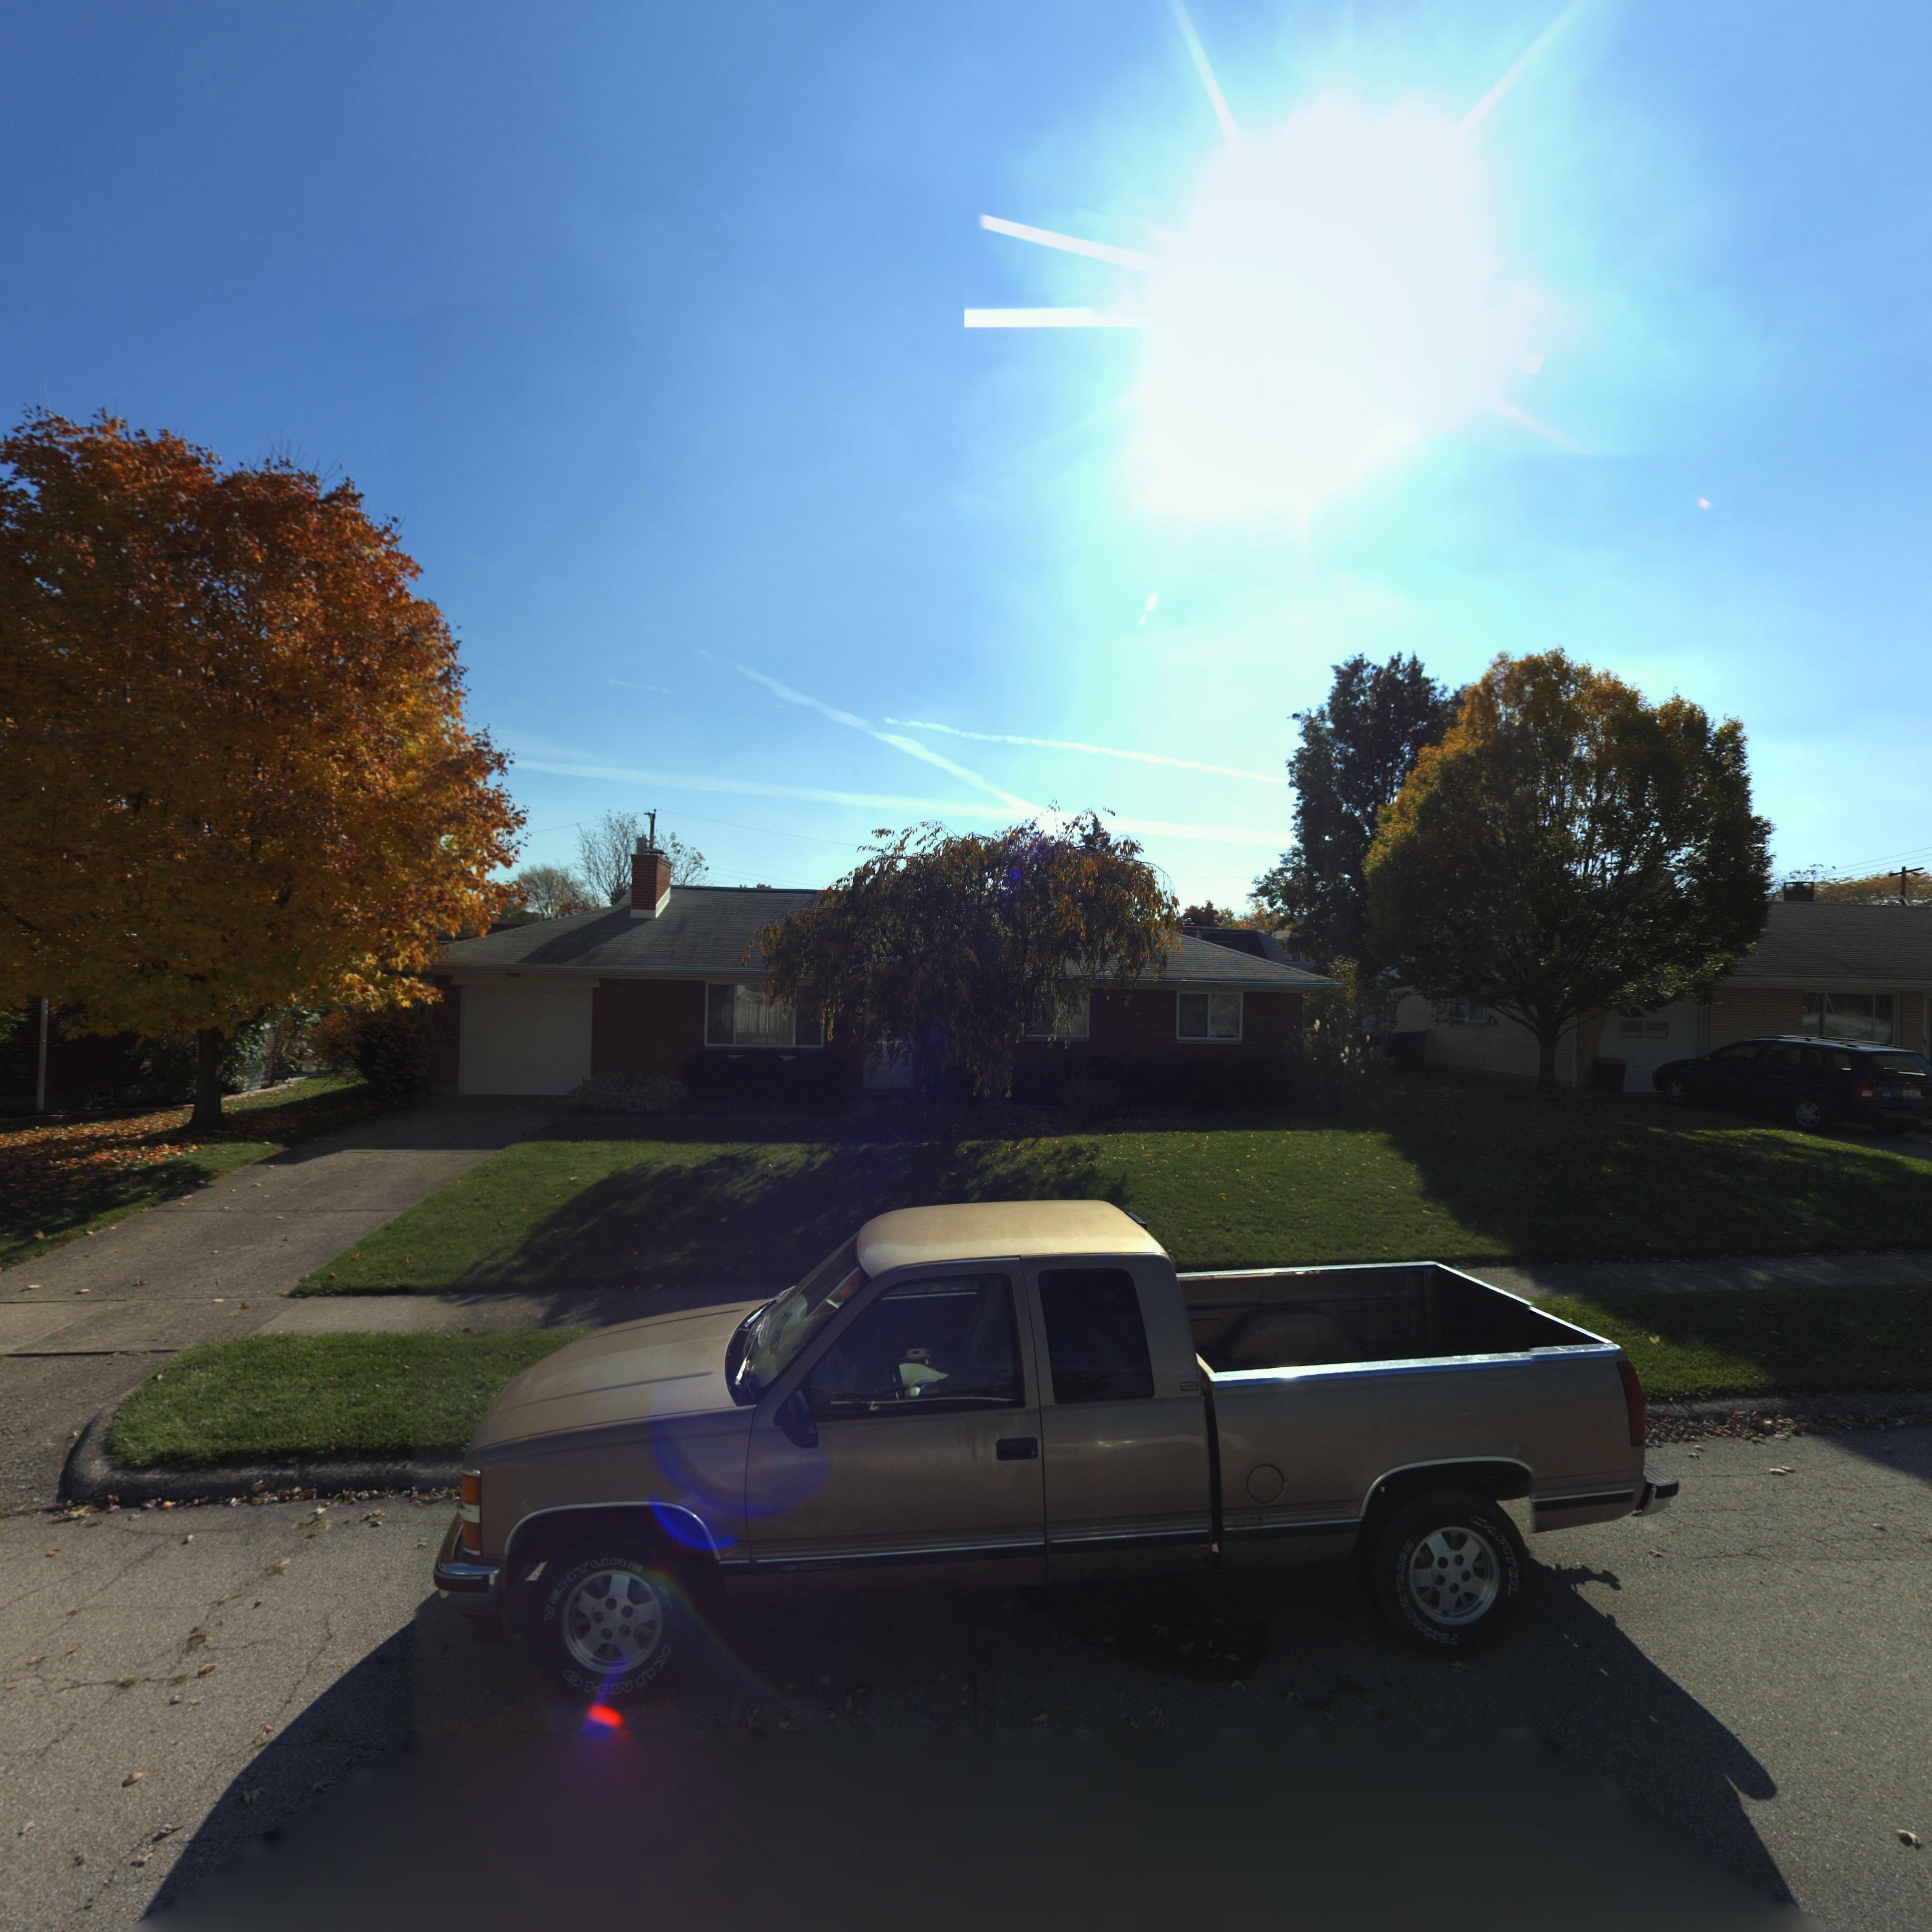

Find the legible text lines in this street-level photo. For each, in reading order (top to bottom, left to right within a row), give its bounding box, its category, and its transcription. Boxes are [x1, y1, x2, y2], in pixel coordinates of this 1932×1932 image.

[541, 1557, 646, 1623] None: VENTURE